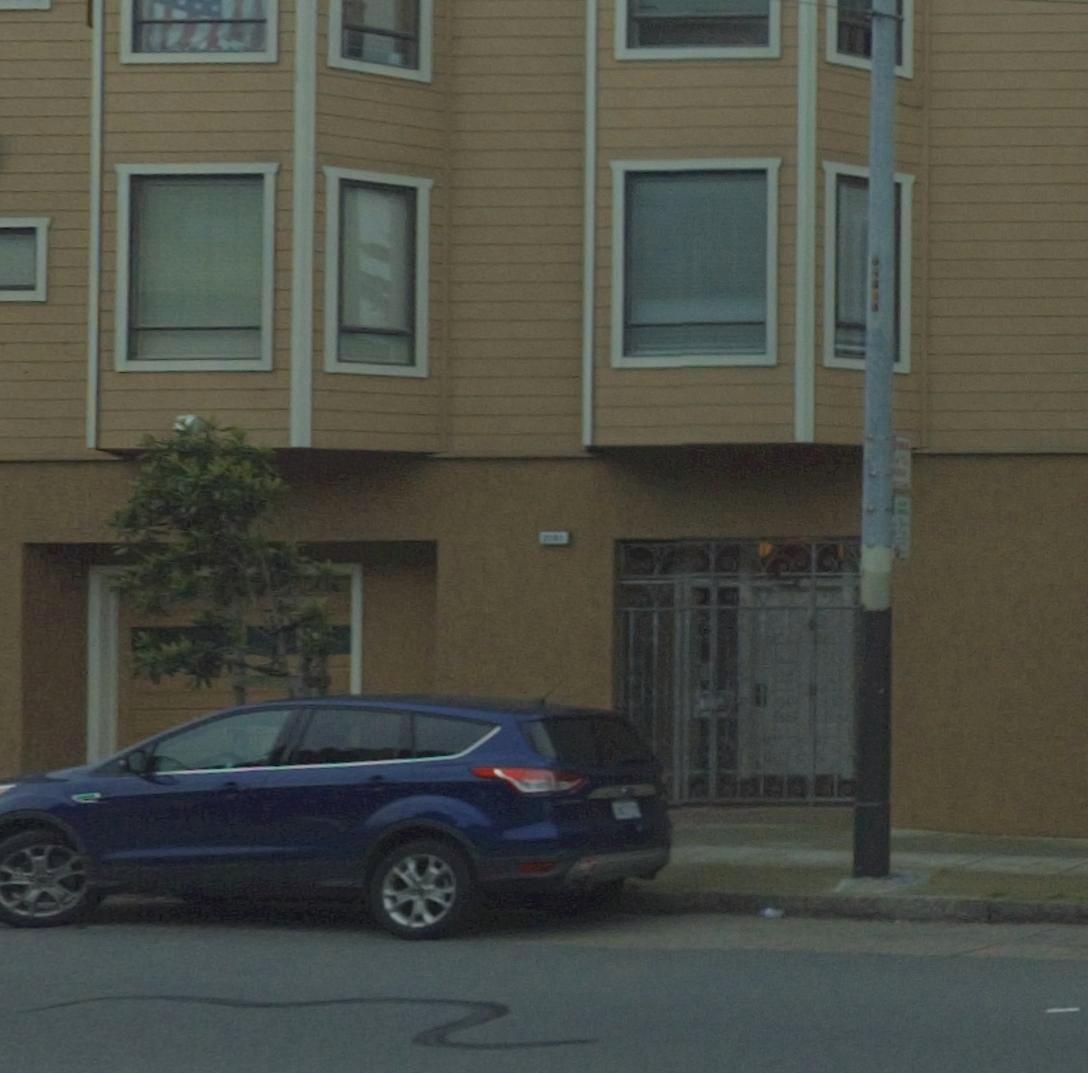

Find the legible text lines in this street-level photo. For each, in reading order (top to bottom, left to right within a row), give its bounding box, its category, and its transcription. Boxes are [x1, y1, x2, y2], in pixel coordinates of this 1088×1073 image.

[541, 533, 565, 544] StreetNumber: 2**1